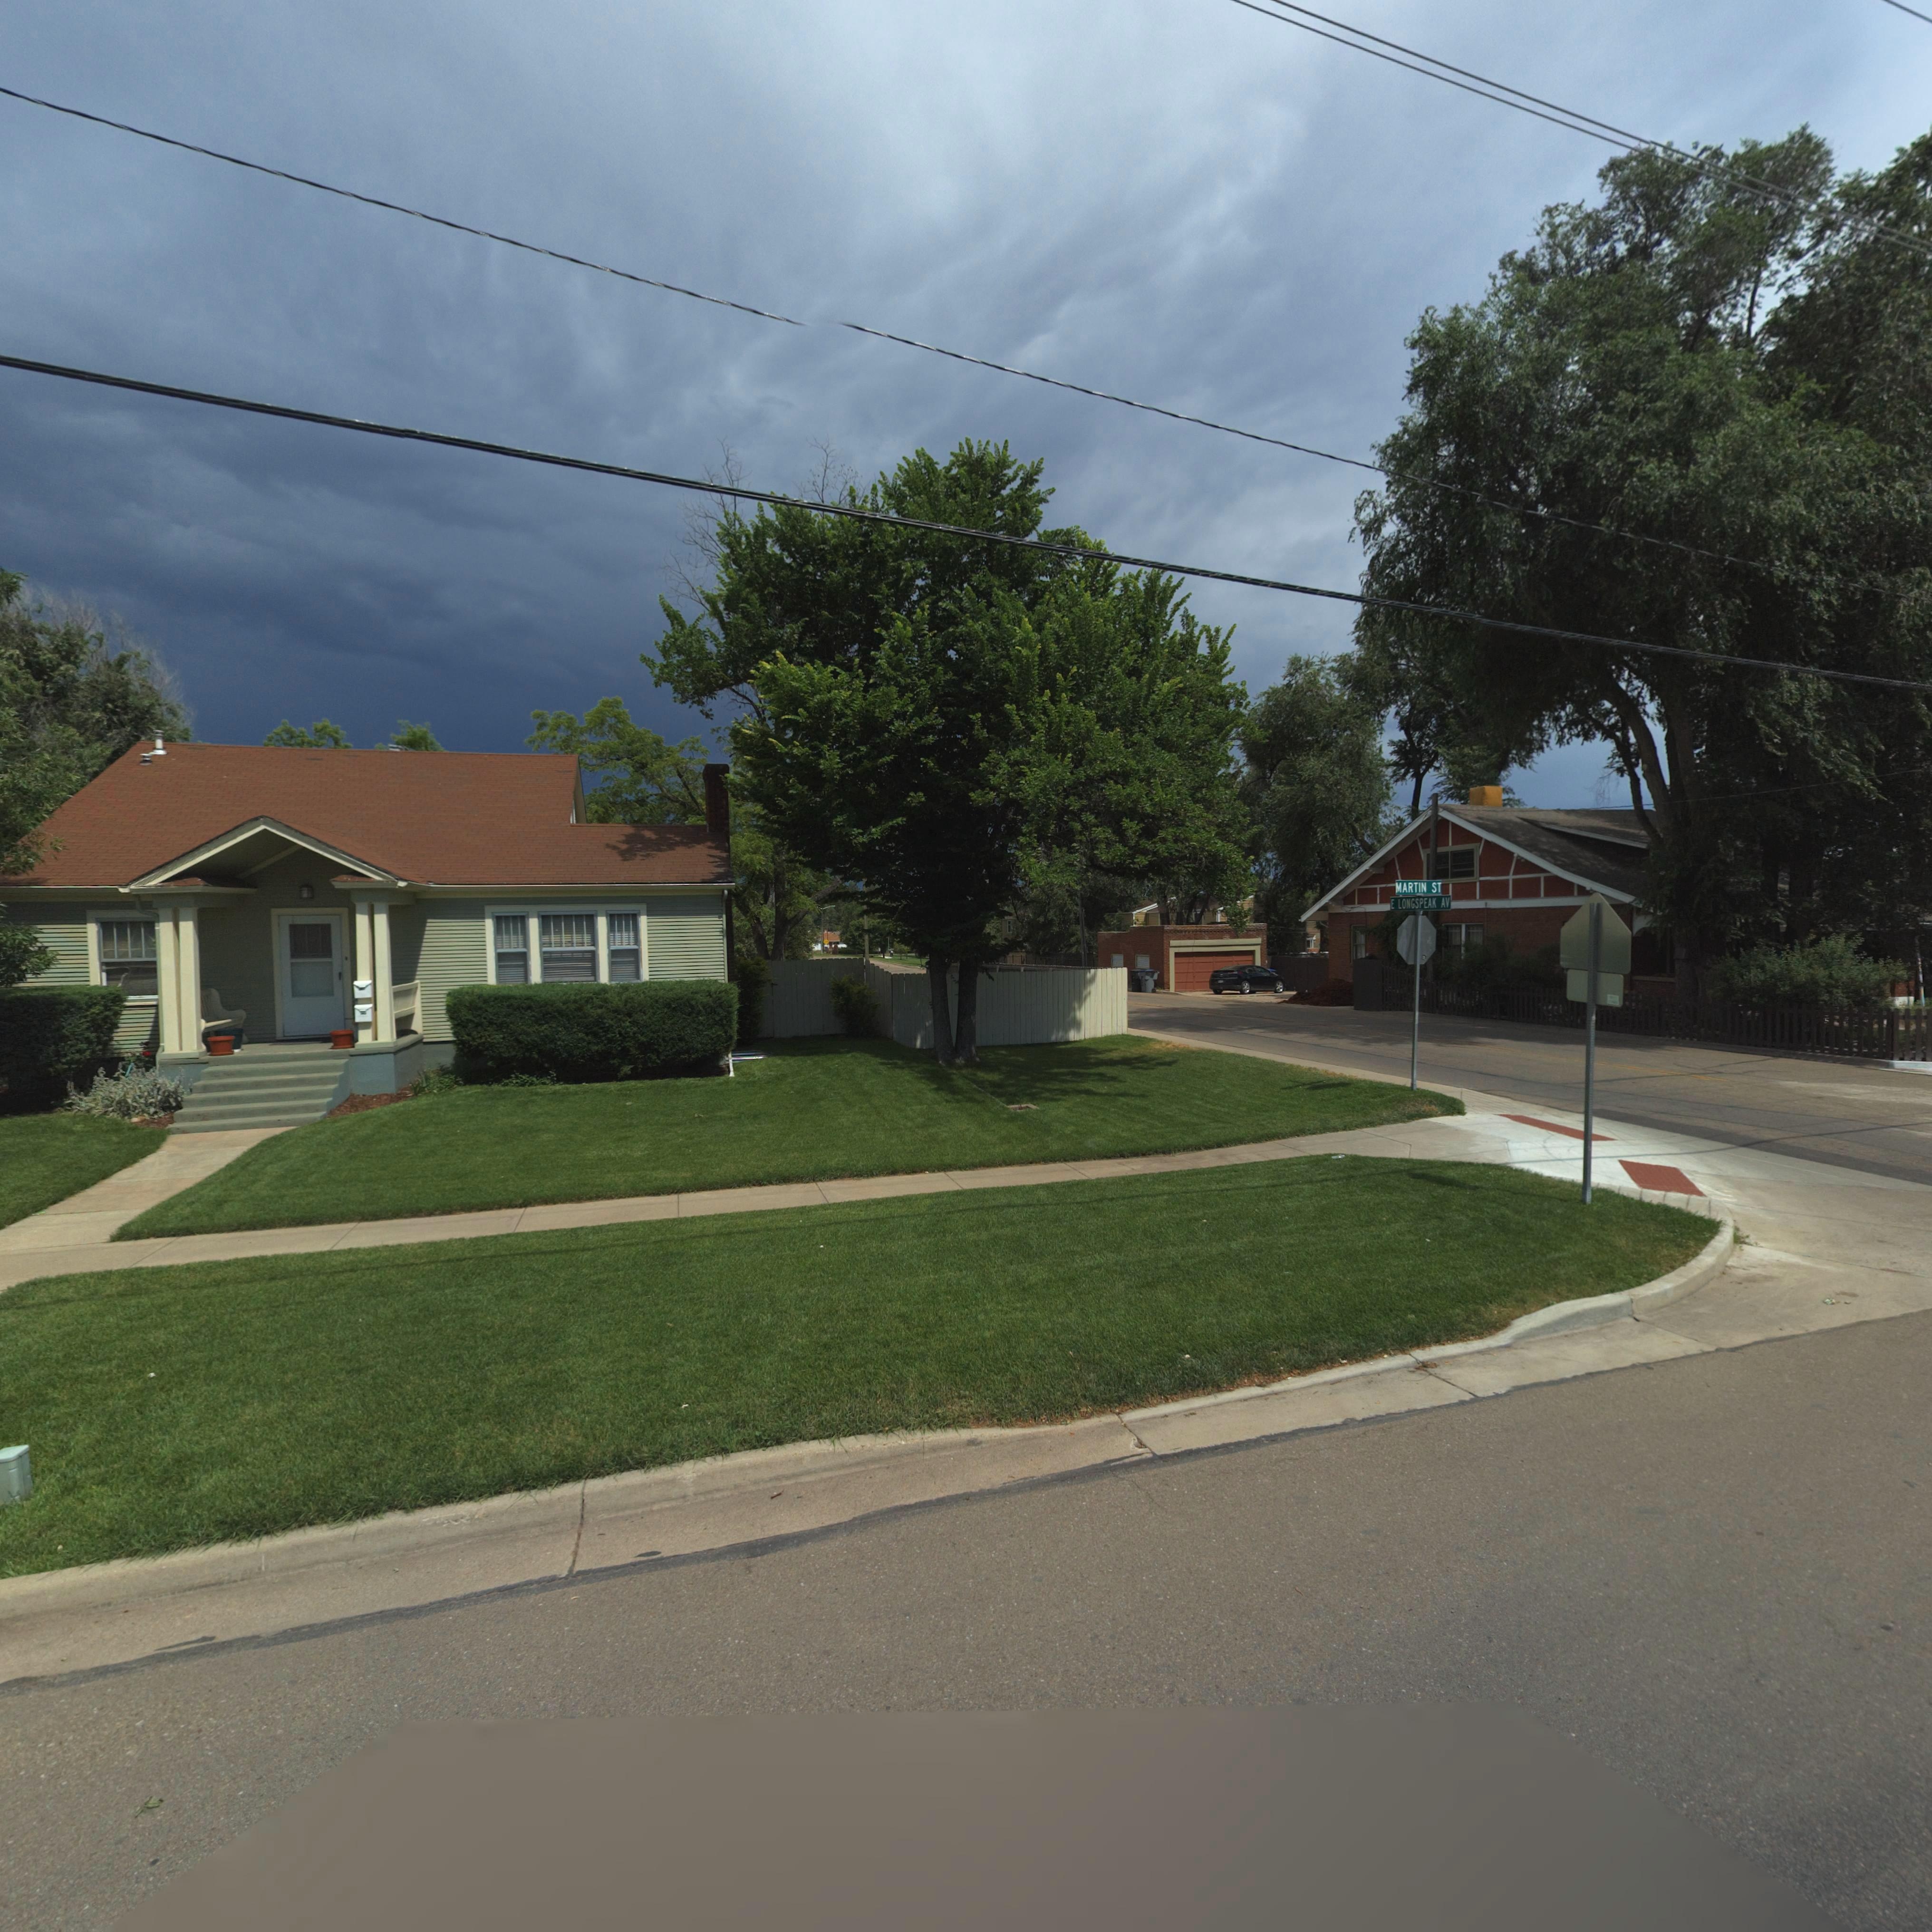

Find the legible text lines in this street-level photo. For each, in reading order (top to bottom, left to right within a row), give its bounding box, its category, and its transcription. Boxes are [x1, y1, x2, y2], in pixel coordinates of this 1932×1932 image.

[1395, 881, 1442, 893] StreetName: MARTIN ST
[1390, 896, 1450, 910] StreetName: E LONGSPEAK AV